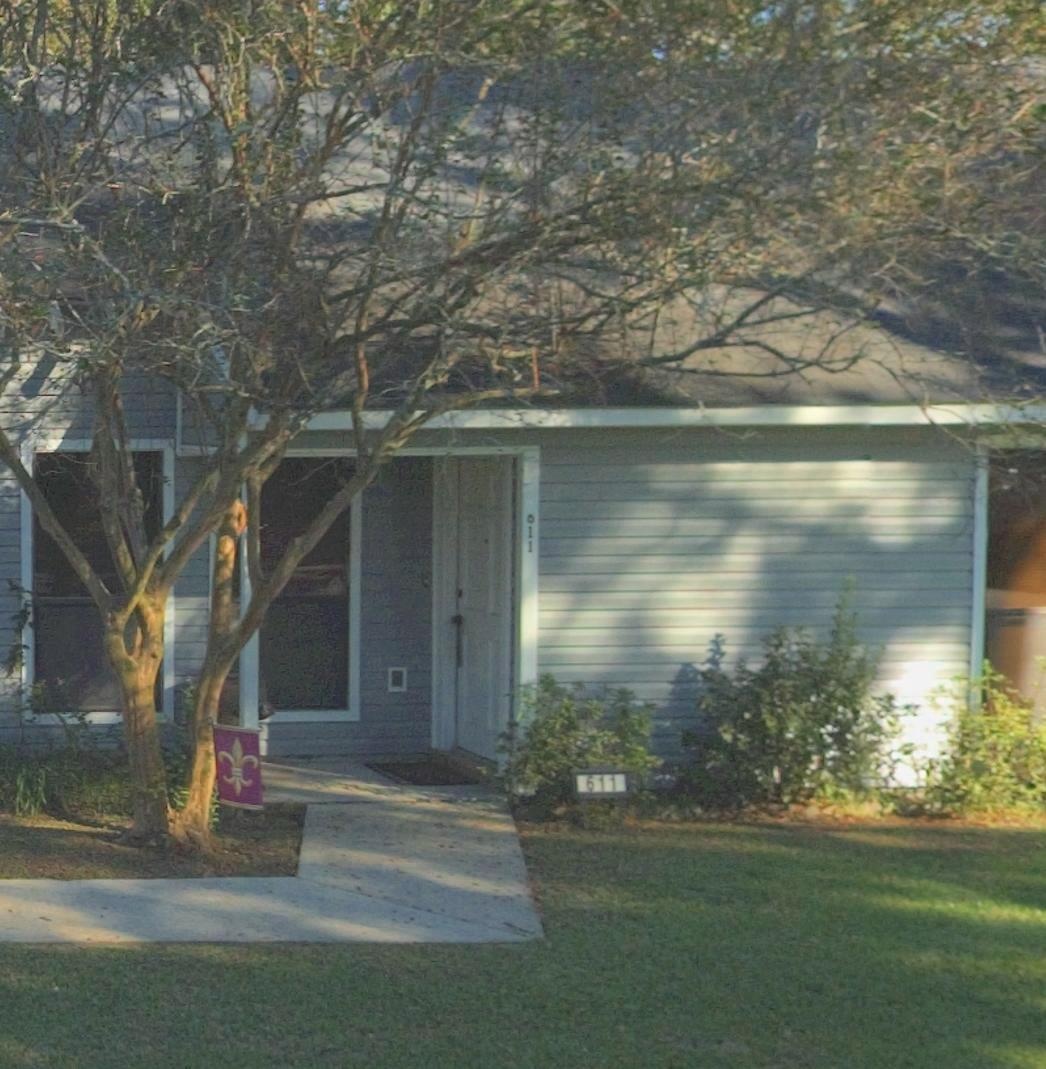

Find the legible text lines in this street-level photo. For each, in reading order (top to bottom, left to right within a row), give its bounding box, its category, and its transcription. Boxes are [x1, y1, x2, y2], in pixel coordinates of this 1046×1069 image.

[525, 511, 536, 555] StreetNumber: 611
[584, 774, 618, 792] StreetNumber: 611